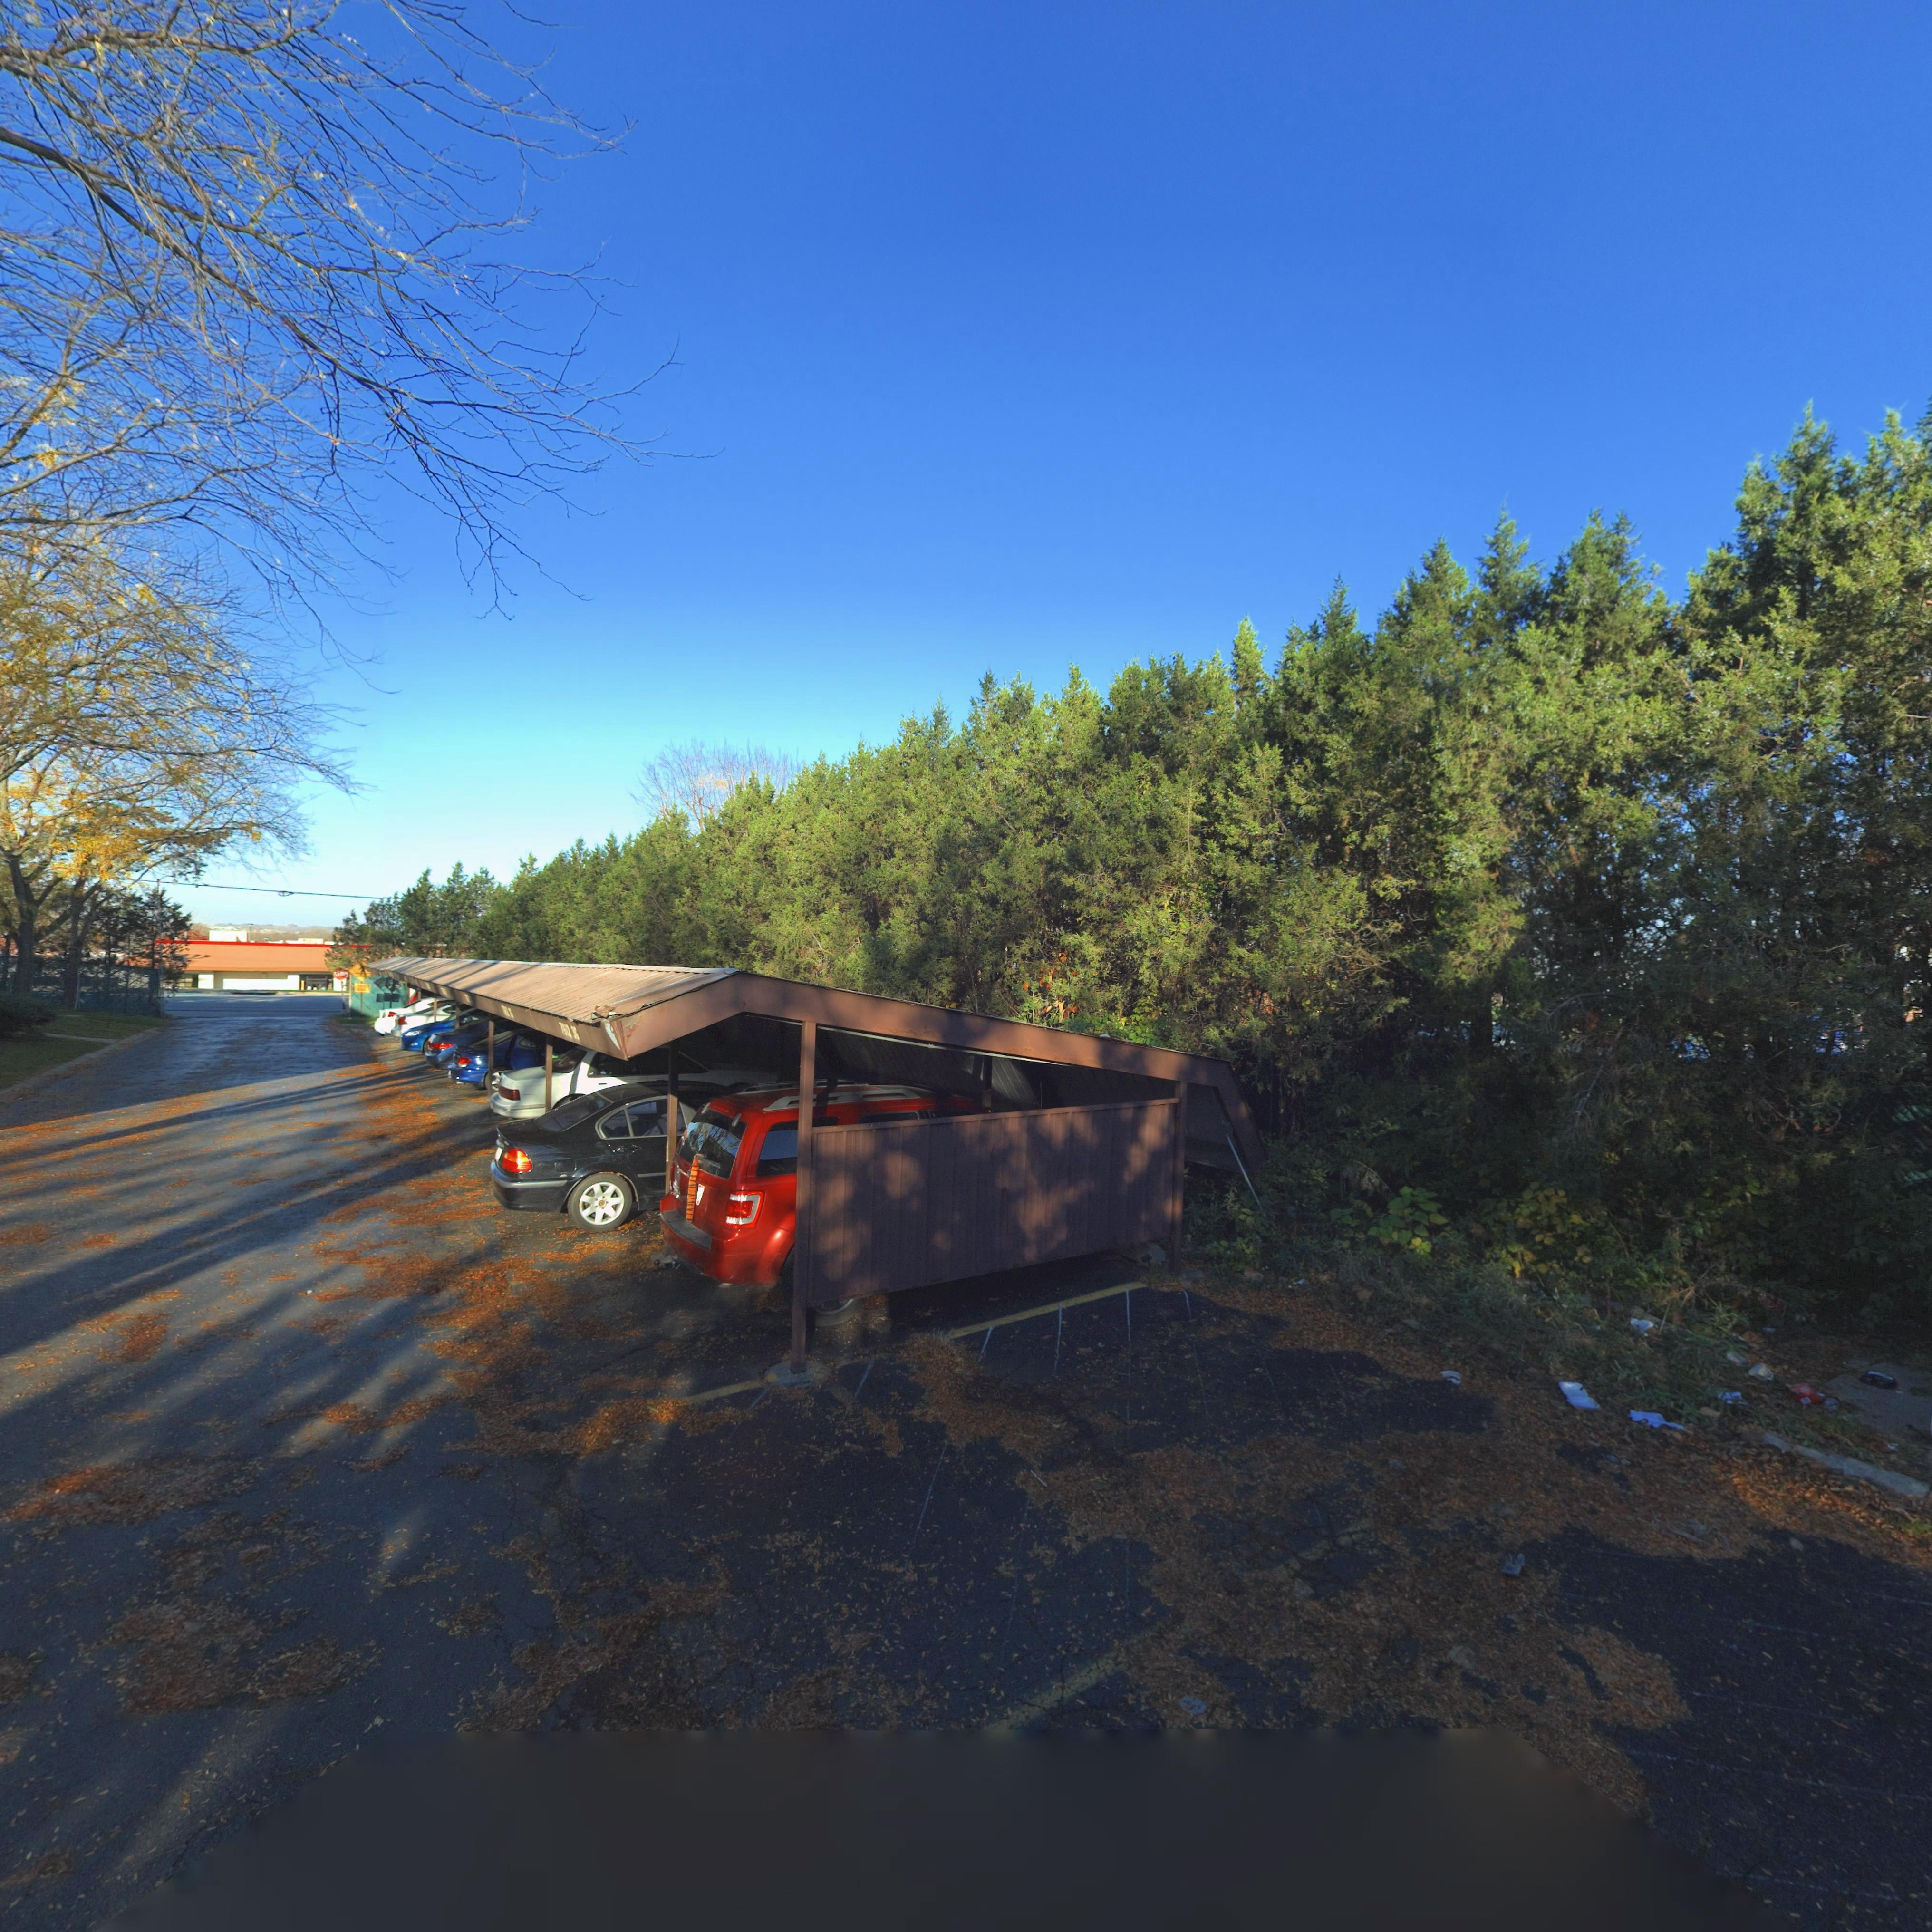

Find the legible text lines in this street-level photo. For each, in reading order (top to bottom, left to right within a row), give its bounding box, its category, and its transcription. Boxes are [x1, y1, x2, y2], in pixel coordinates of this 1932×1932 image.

[558, 1021, 573, 1039] StreetNumber: 76*2